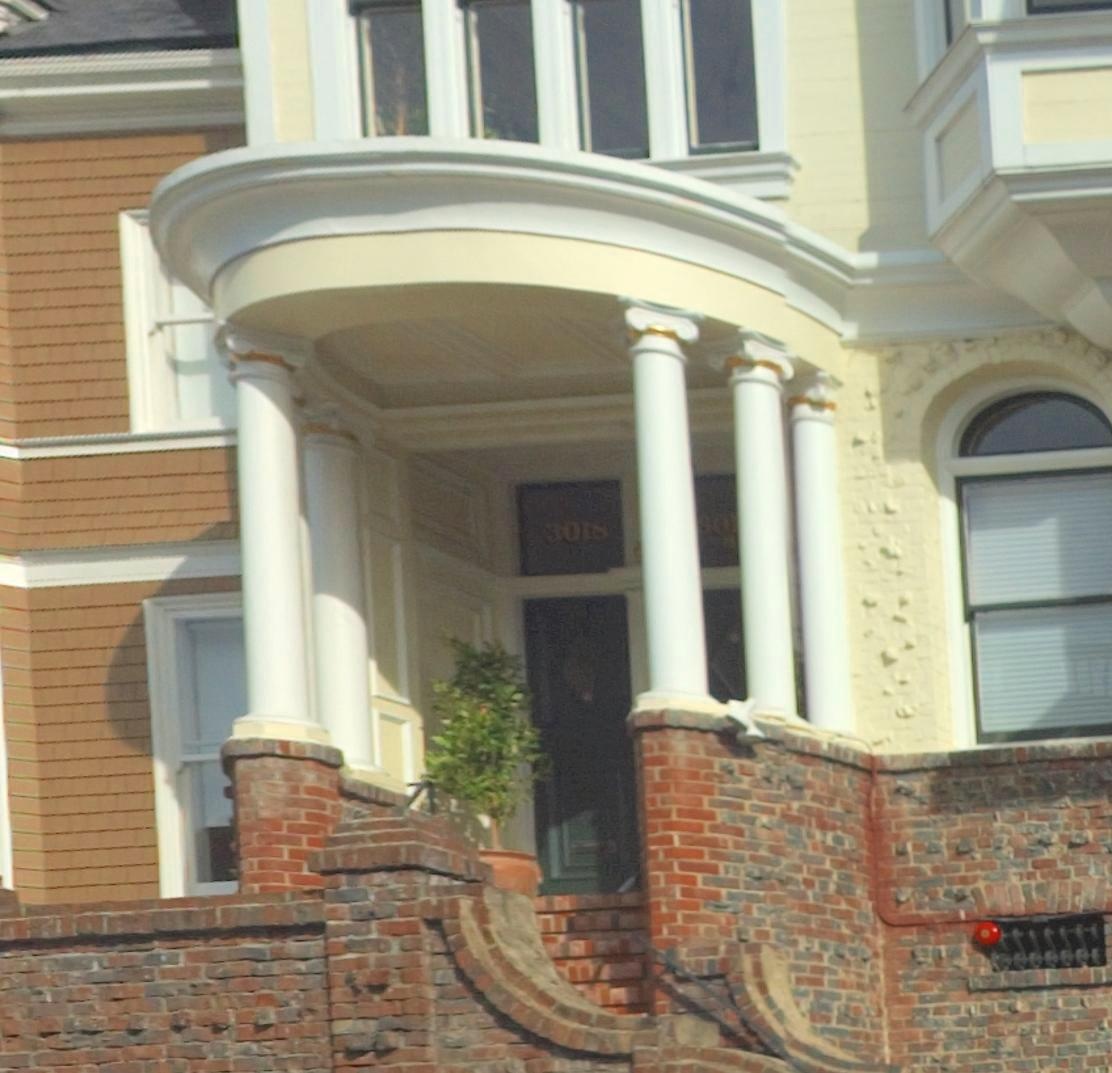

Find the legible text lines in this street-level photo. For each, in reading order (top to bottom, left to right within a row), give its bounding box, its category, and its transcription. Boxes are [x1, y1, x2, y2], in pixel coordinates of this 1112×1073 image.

[543, 517, 612, 545] StreetNumber: 3018
[710, 511, 733, 540] StreetNumber: O